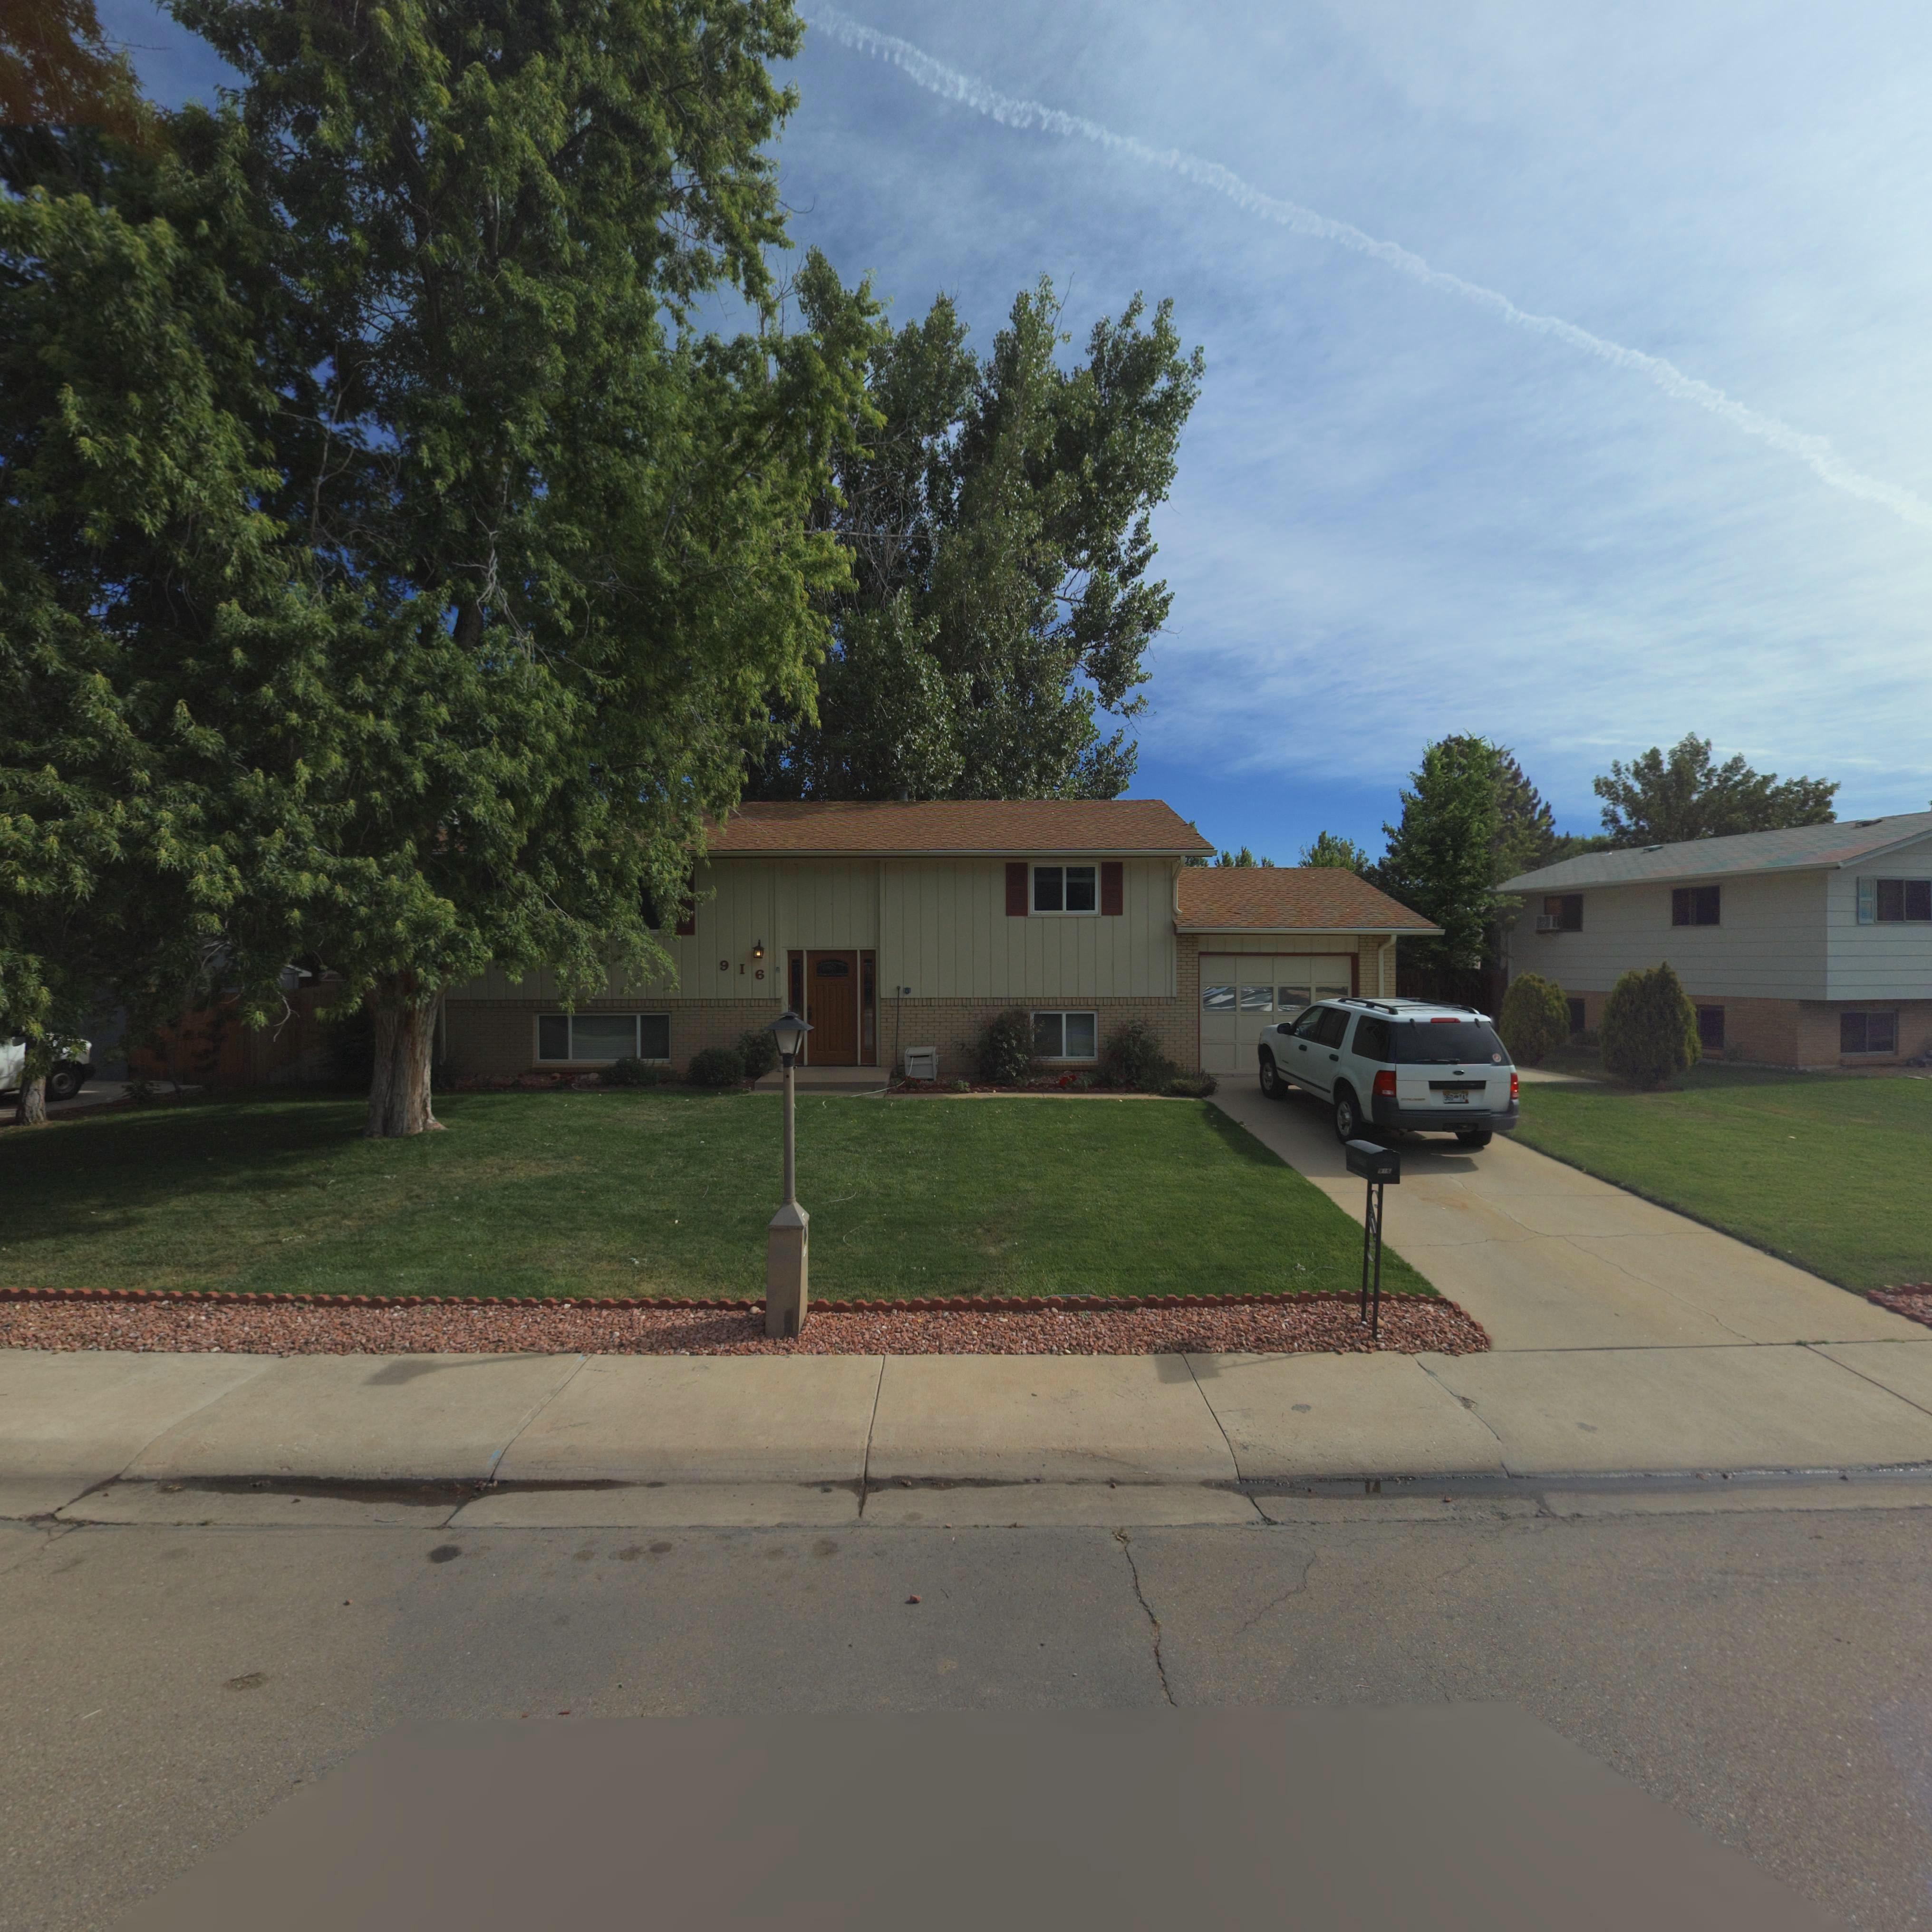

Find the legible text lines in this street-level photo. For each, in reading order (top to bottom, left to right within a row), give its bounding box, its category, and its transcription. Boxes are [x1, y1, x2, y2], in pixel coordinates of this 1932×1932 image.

[719, 959, 765, 980] StreetNumber: 916
[1377, 1168, 1391, 1173] StreetNumber: 916